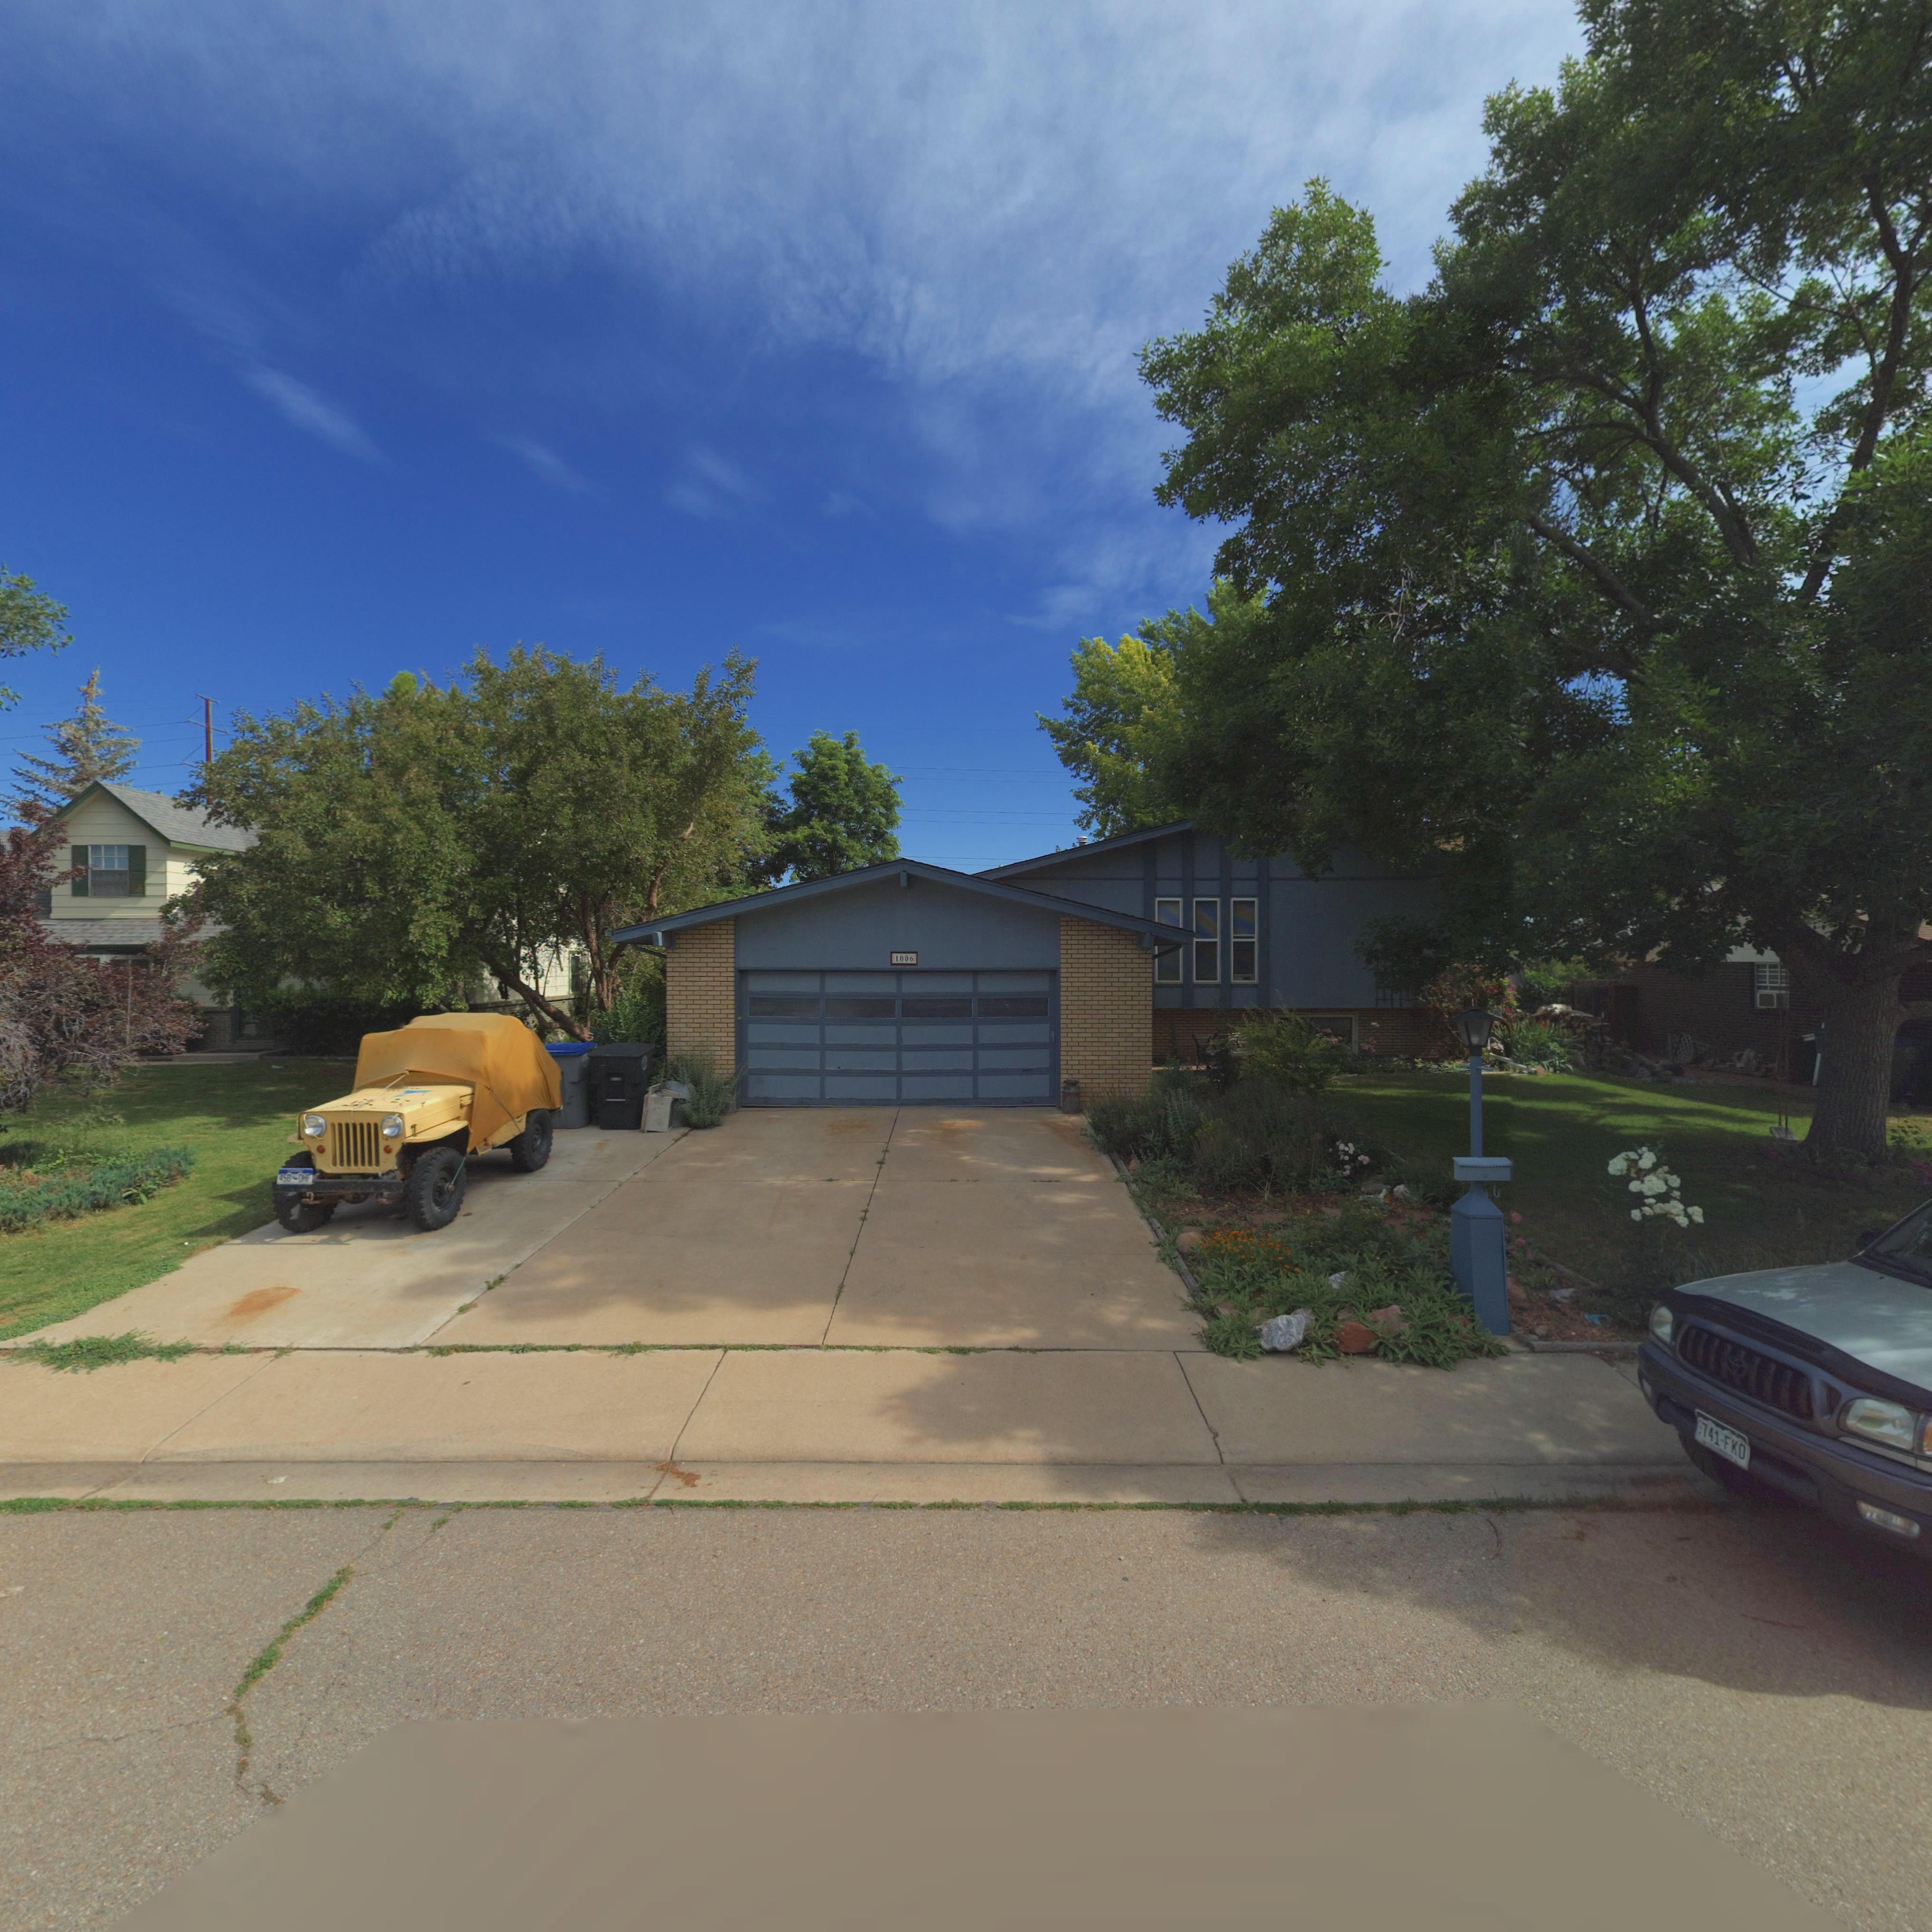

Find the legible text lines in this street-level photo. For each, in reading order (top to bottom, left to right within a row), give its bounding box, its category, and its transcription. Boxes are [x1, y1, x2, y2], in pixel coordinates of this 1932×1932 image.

[896, 955, 914, 962] StreetNumber: 1006